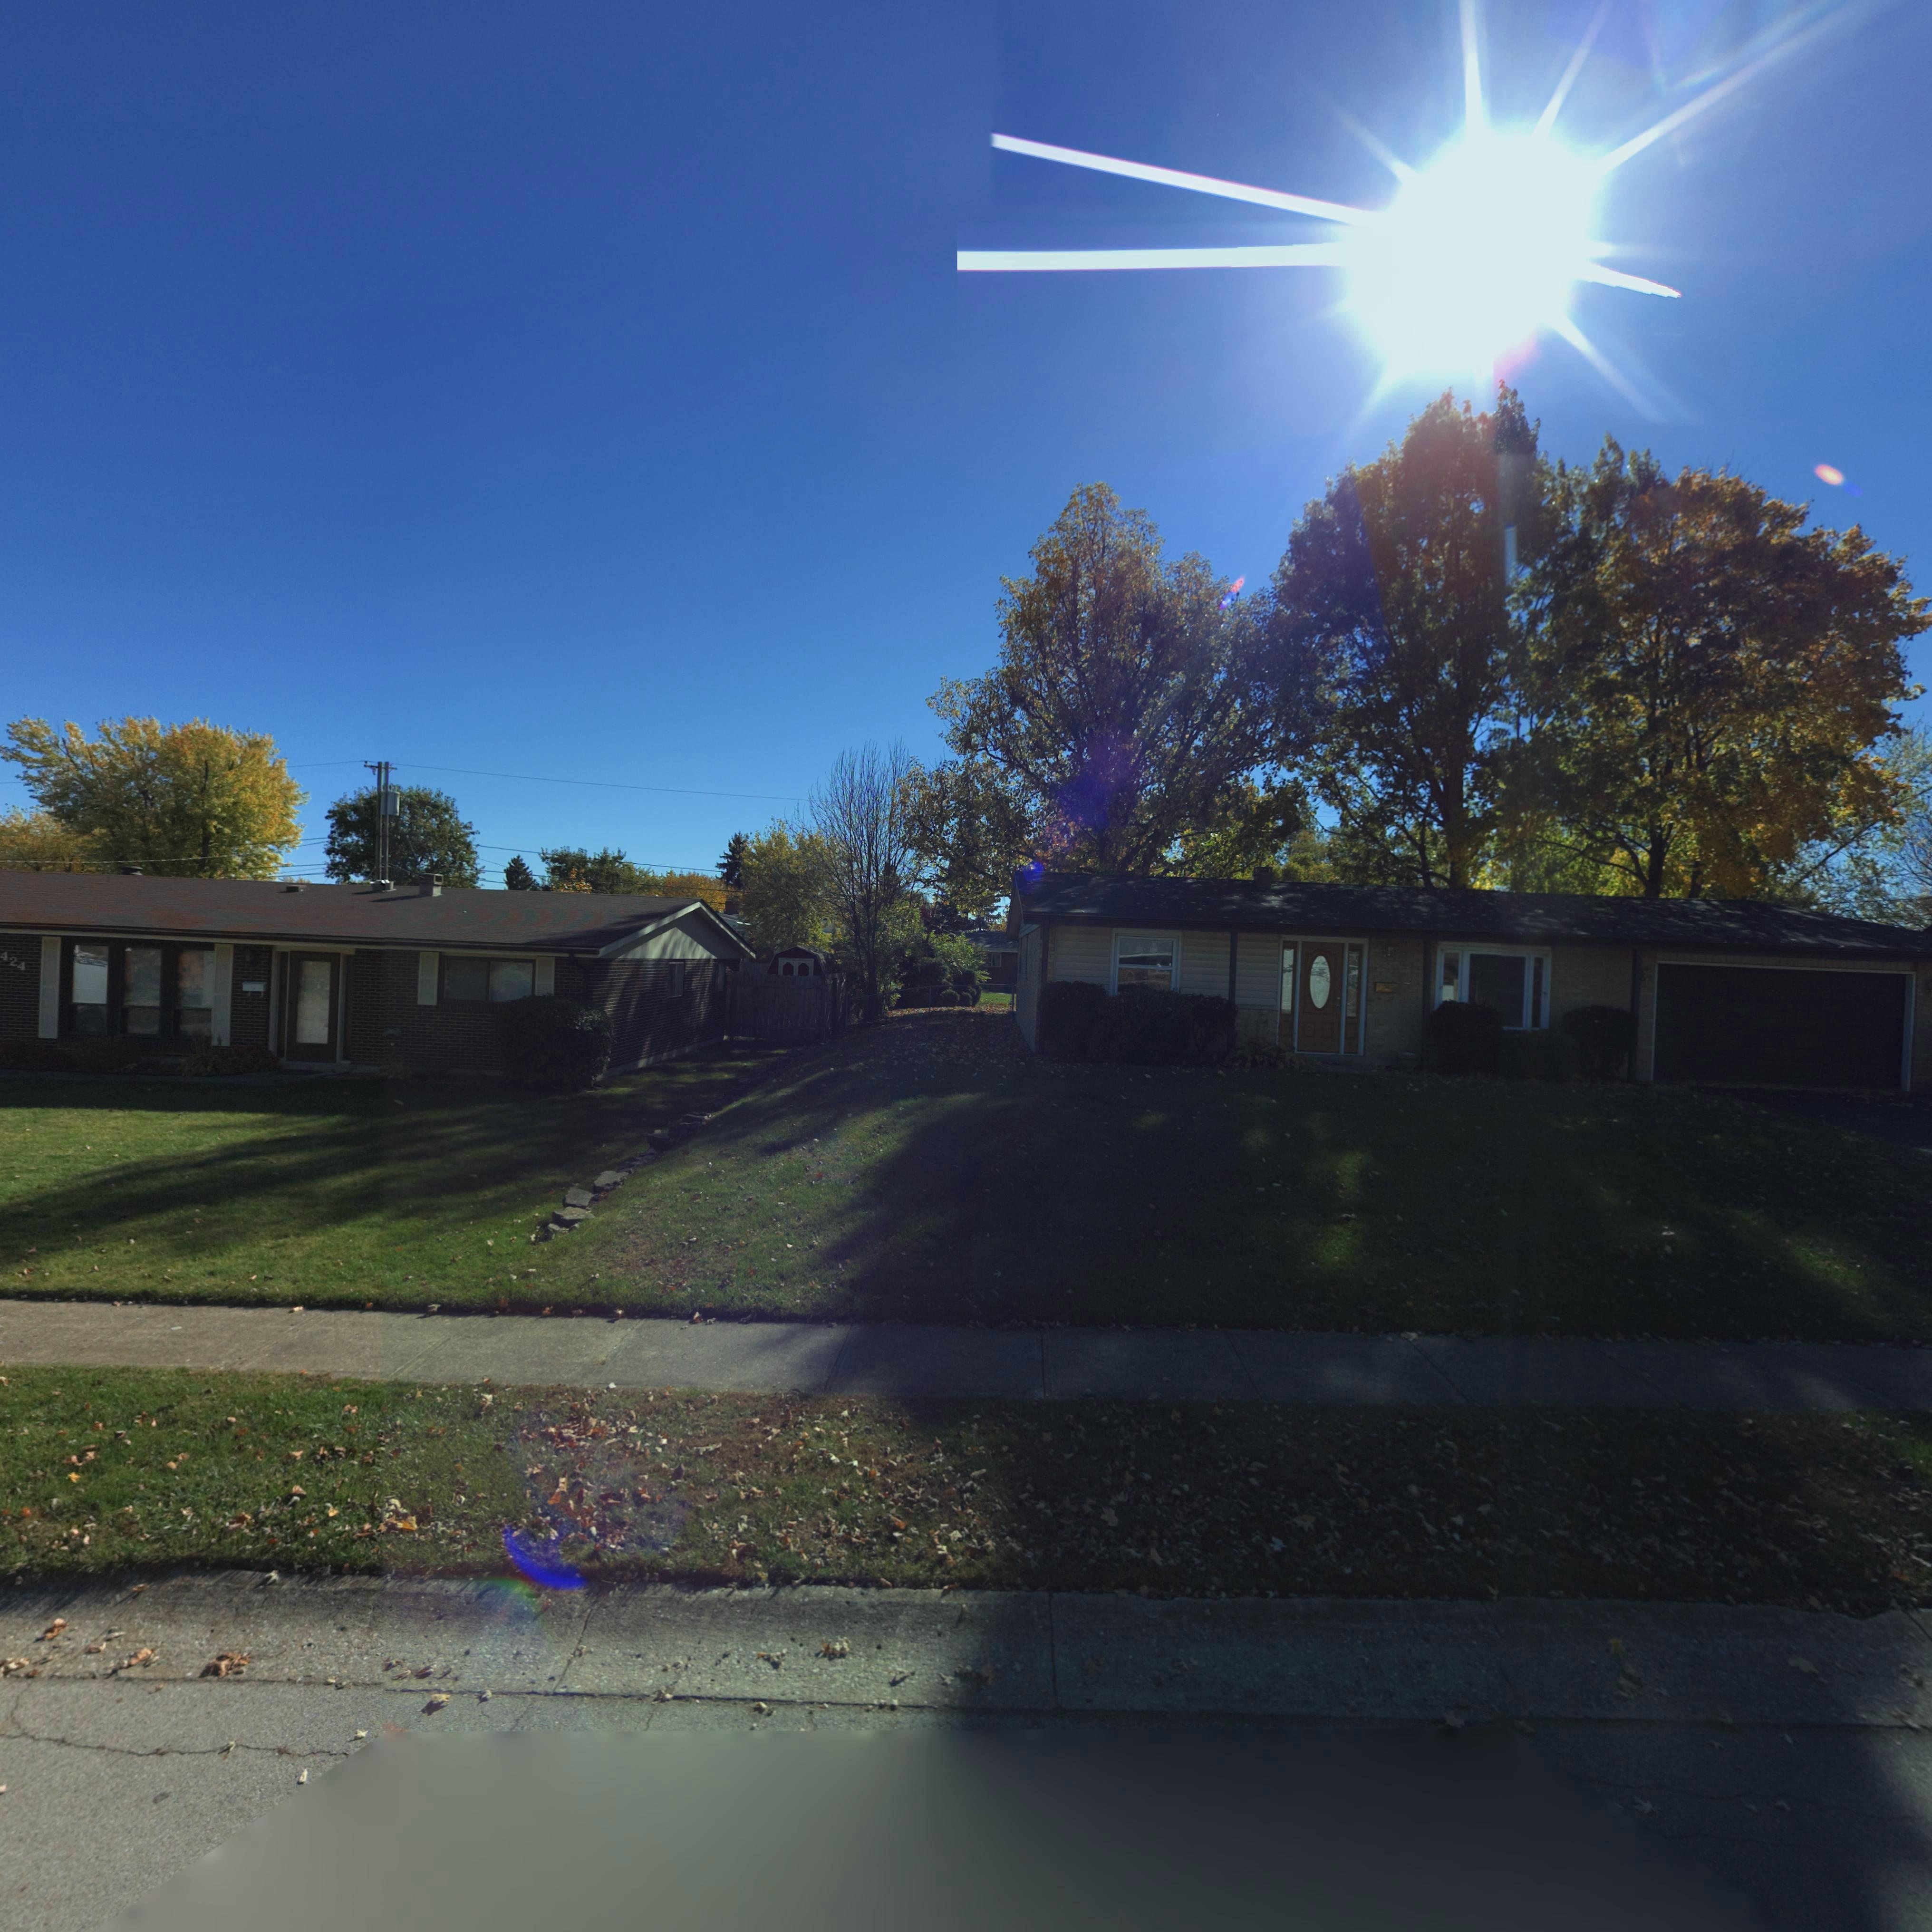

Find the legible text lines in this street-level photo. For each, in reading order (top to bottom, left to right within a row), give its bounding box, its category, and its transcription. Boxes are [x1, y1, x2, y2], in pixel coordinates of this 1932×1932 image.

[0, 949, 27, 972] StreetNumber: 424